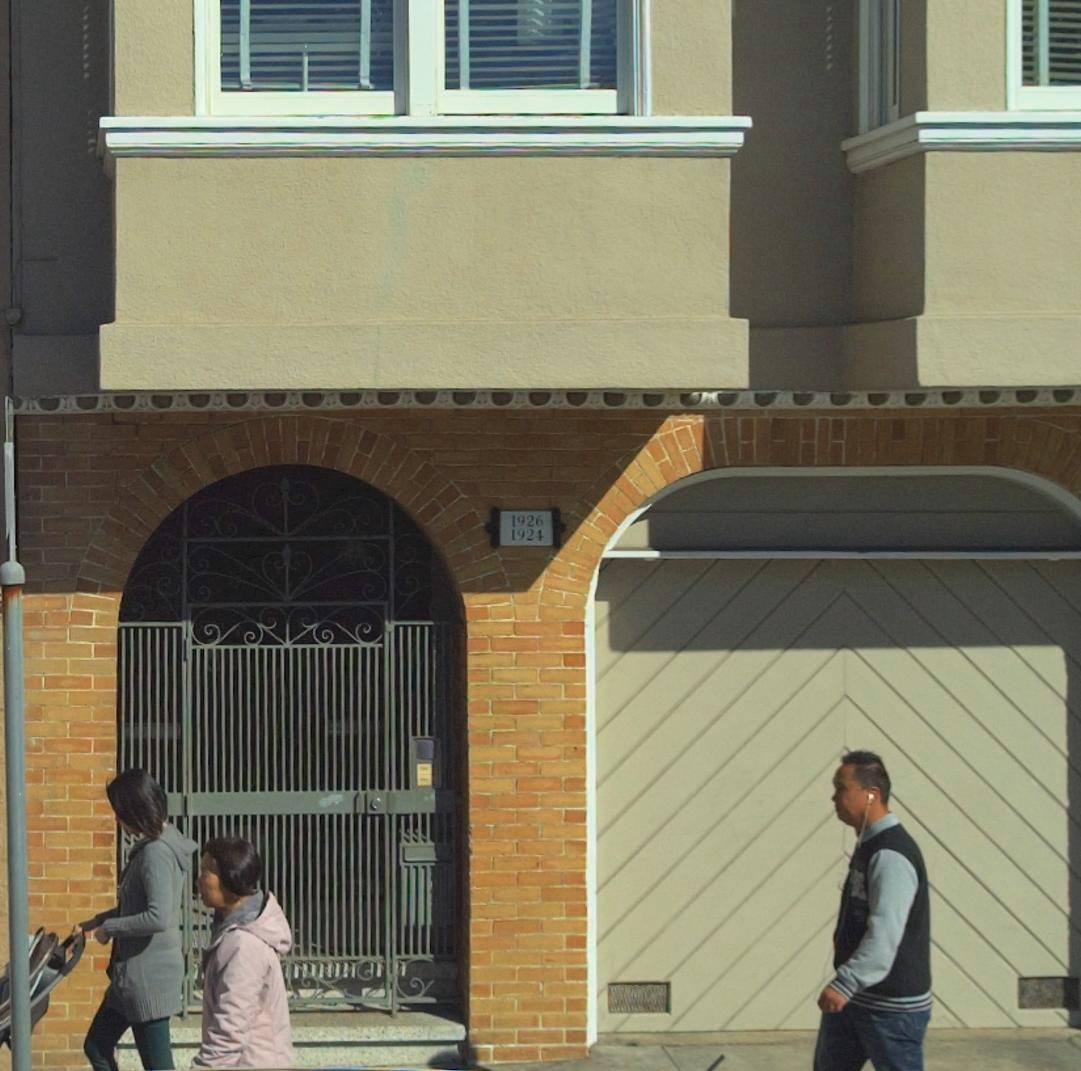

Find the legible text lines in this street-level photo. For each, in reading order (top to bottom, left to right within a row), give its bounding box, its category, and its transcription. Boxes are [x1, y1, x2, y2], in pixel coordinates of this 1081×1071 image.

[510, 513, 544, 528] StreetNumber: 1926
[510, 528, 545, 542] StreetNumber: 1924